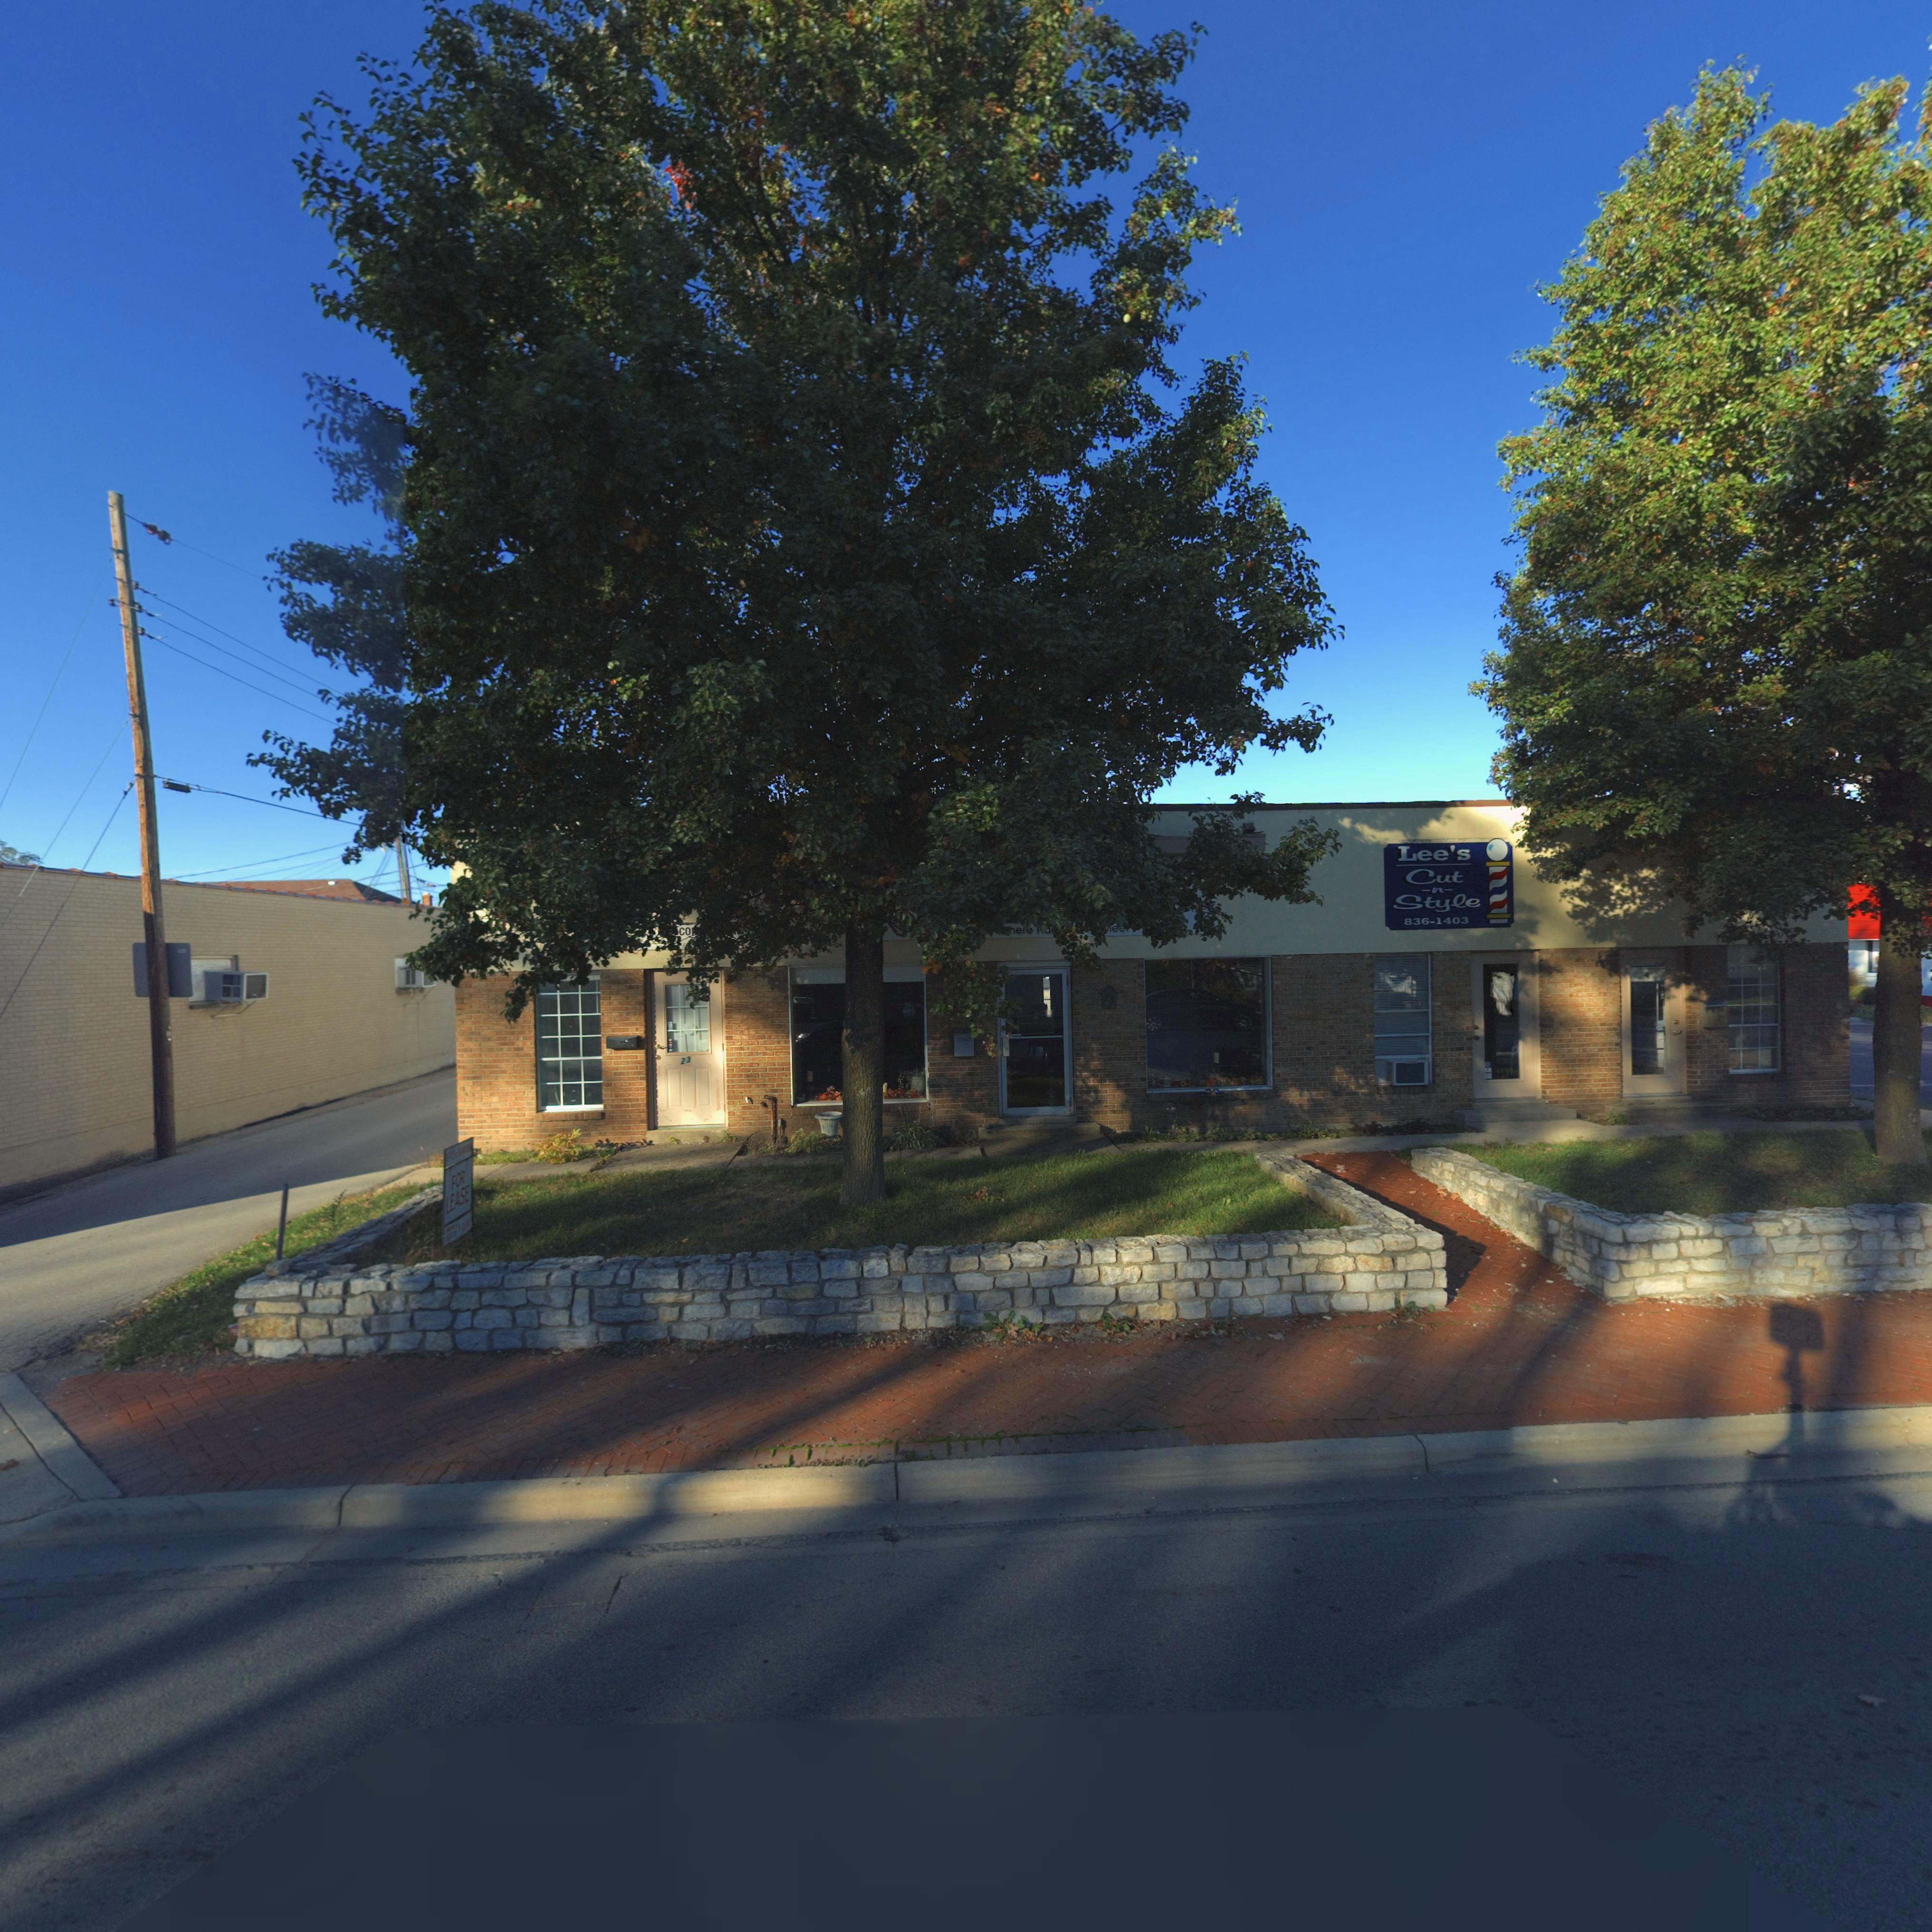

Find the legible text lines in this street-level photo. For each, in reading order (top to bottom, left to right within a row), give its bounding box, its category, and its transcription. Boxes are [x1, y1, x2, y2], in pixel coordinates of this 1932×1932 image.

[1395, 842, 1473, 864] None: Lee's
[1401, 866, 1464, 885] None: Cut
[1430, 884, 1445, 897] None: n
[1389, 890, 1482, 915] None: Style
[1403, 915, 1470, 926] None: 836-1403
[1643, 971, 1649, 978] StreetNumber: 4
[1103, 993, 1115, 1005] StreetNumber: 2*
[680, 1056, 691, 1065] StreetNumber: 23
[449, 1169, 465, 1192] None: FOR
[445, 1183, 470, 1216] None: LEASE